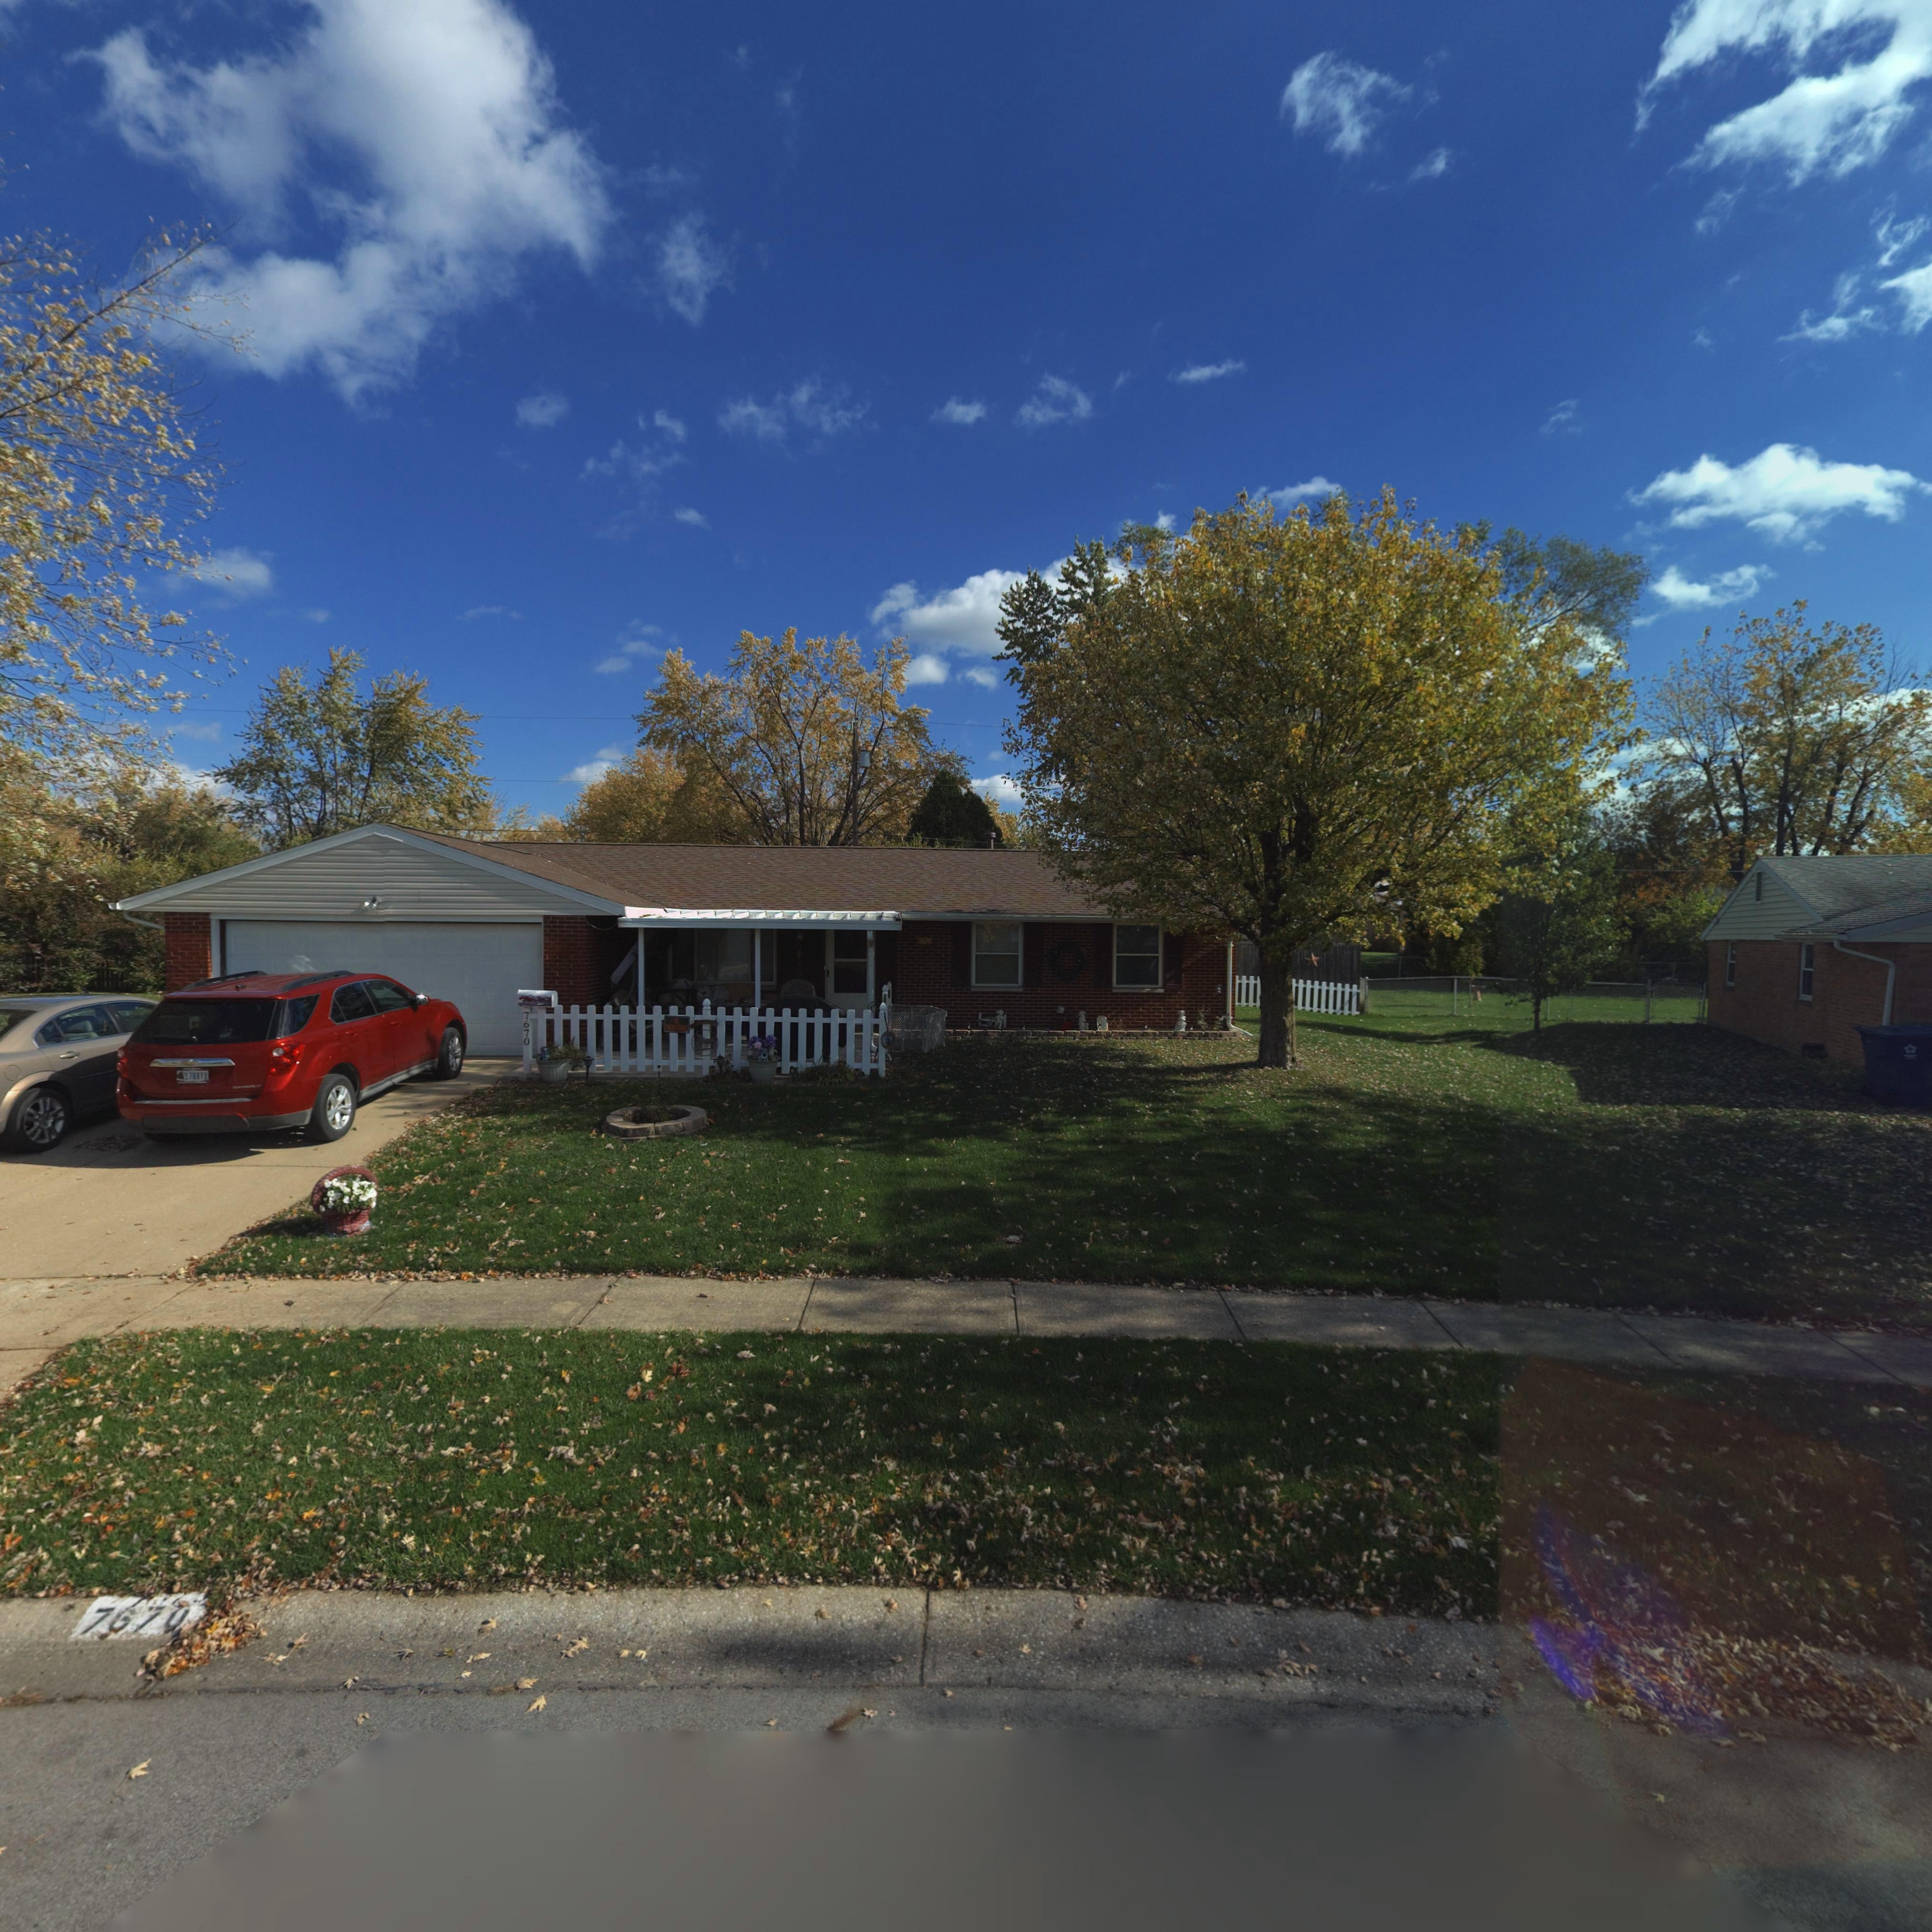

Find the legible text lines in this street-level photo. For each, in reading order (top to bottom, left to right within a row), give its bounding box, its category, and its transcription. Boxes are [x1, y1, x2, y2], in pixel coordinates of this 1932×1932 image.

[918, 937, 932, 944] StreetNumber: 7670
[523, 1011, 530, 1046] StreetNumber: 7670
[77, 1604, 193, 1637] StreetNumber: 7670